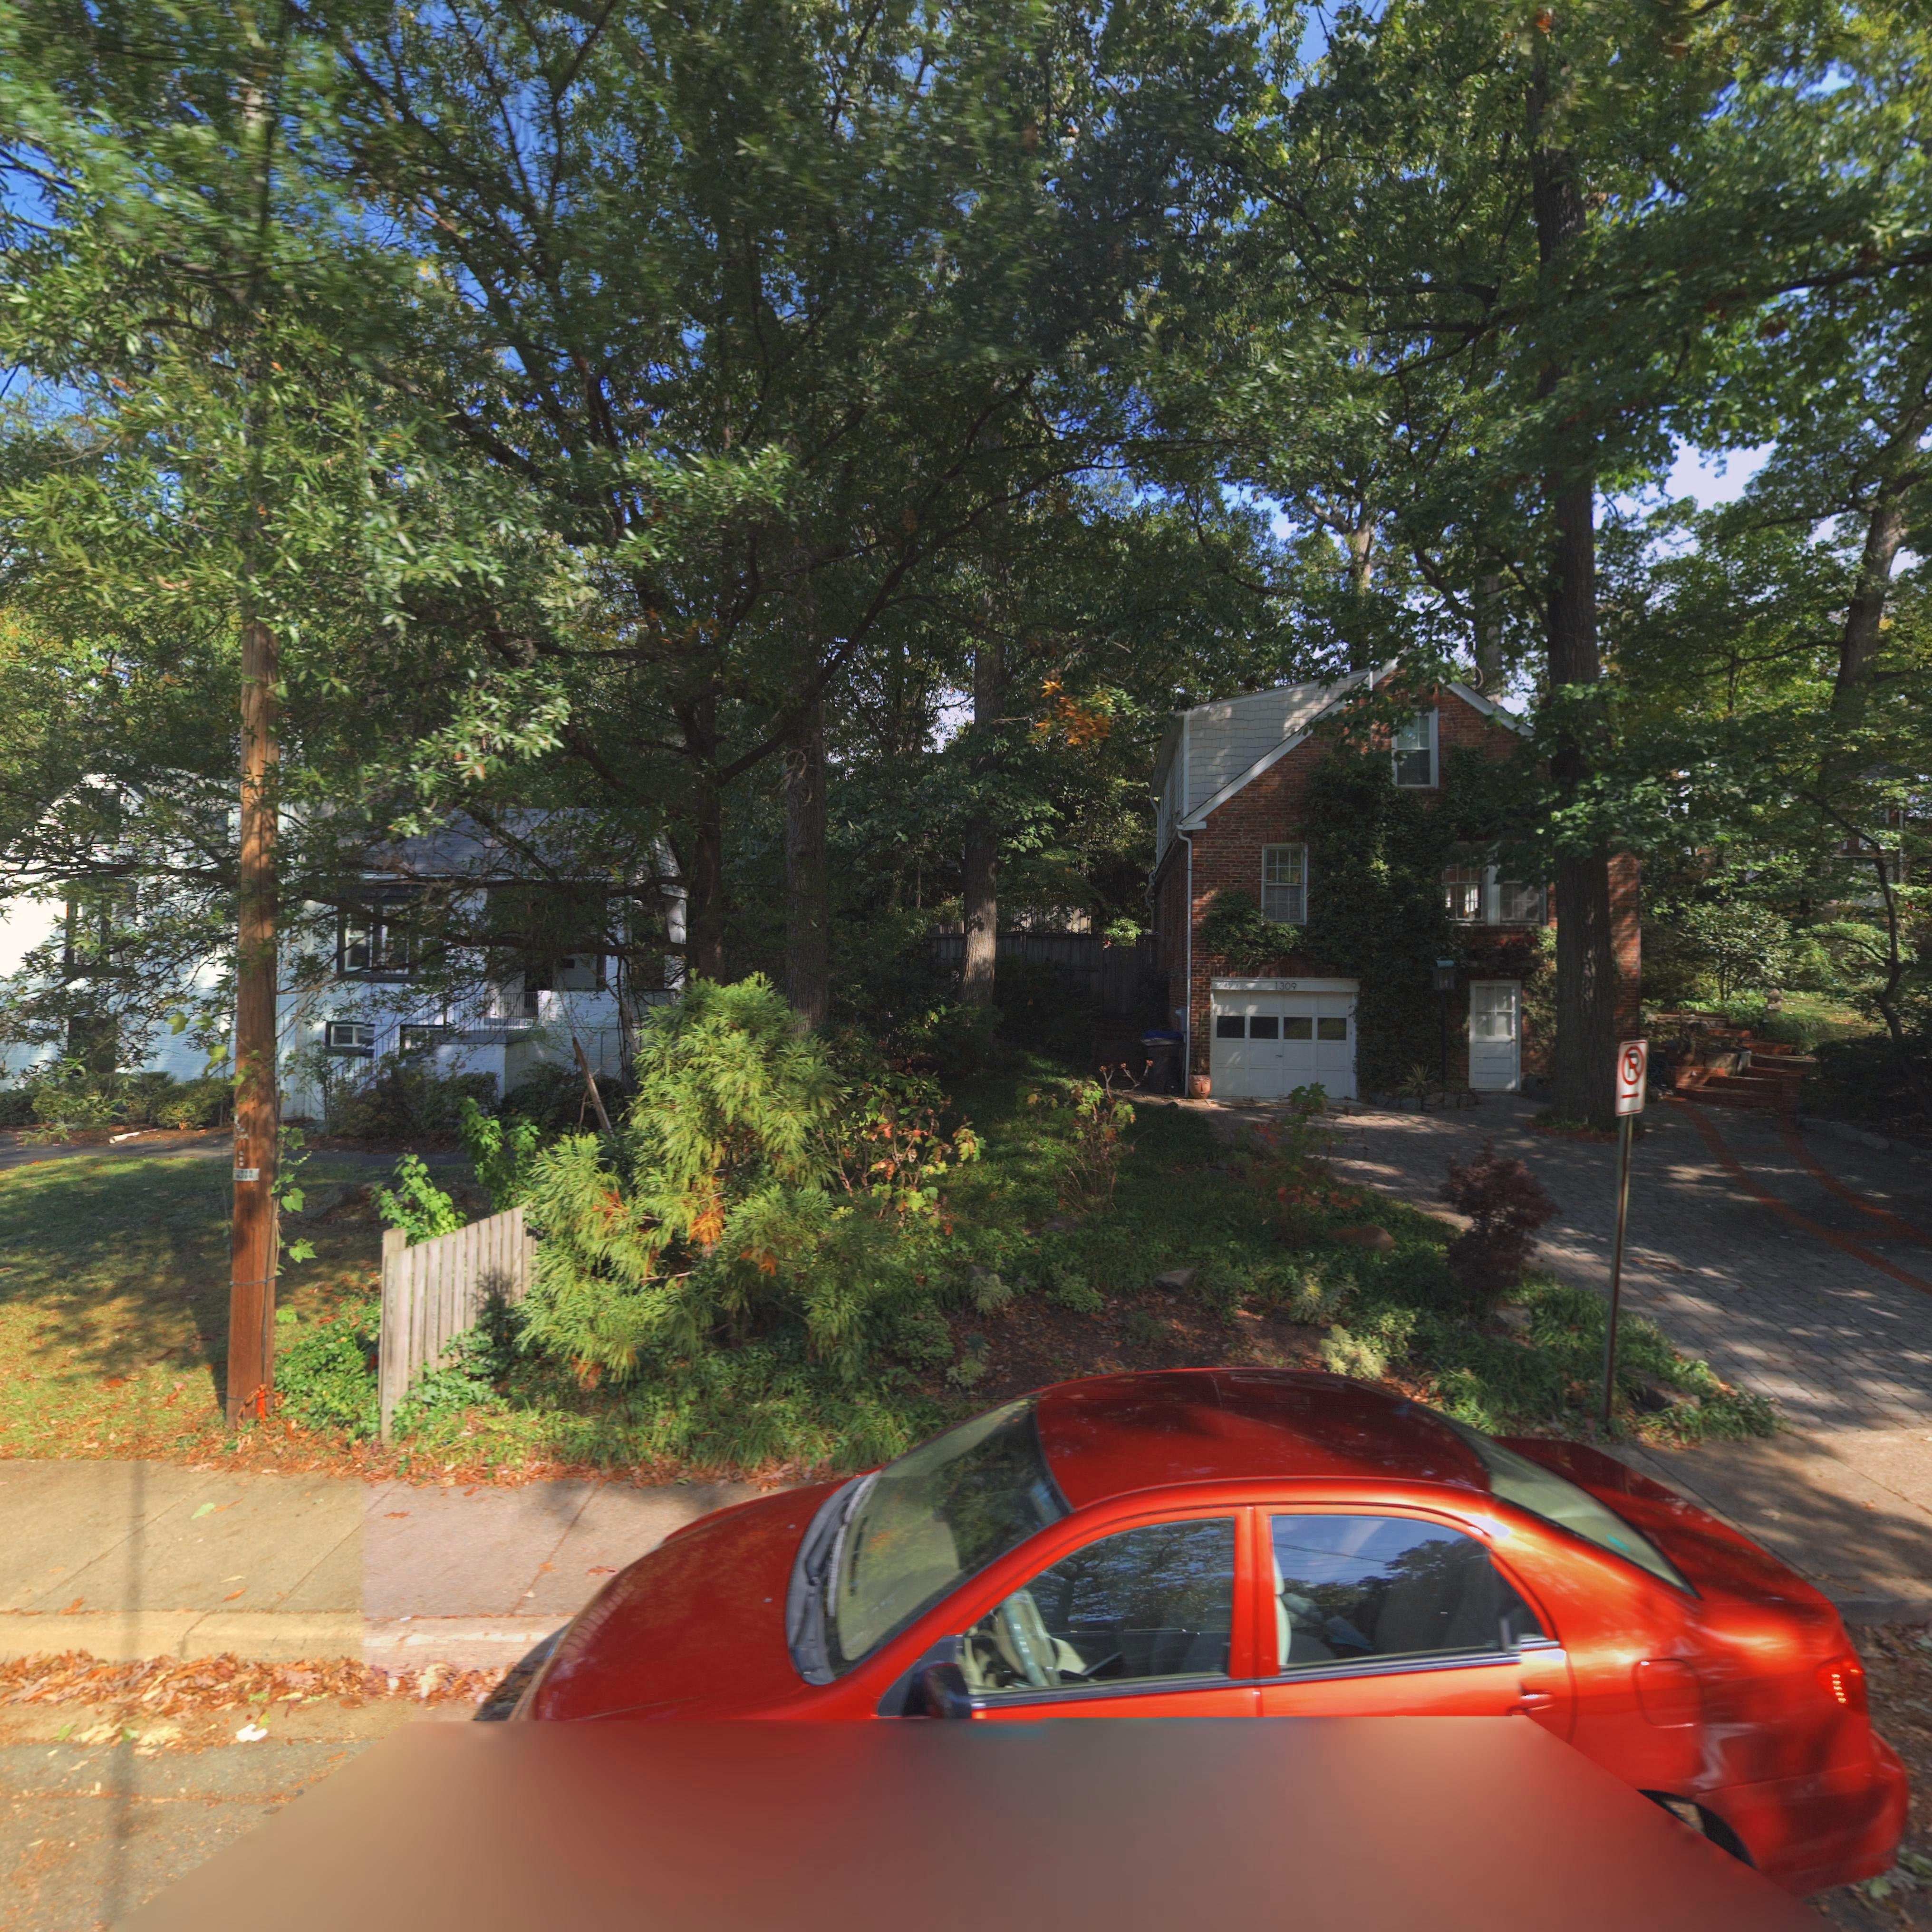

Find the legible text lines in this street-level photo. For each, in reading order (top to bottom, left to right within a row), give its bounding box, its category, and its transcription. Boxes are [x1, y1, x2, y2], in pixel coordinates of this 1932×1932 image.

[1275, 982, 1297, 991] StreetNumber: 1309
[232, 1133, 250, 1140] None: 644